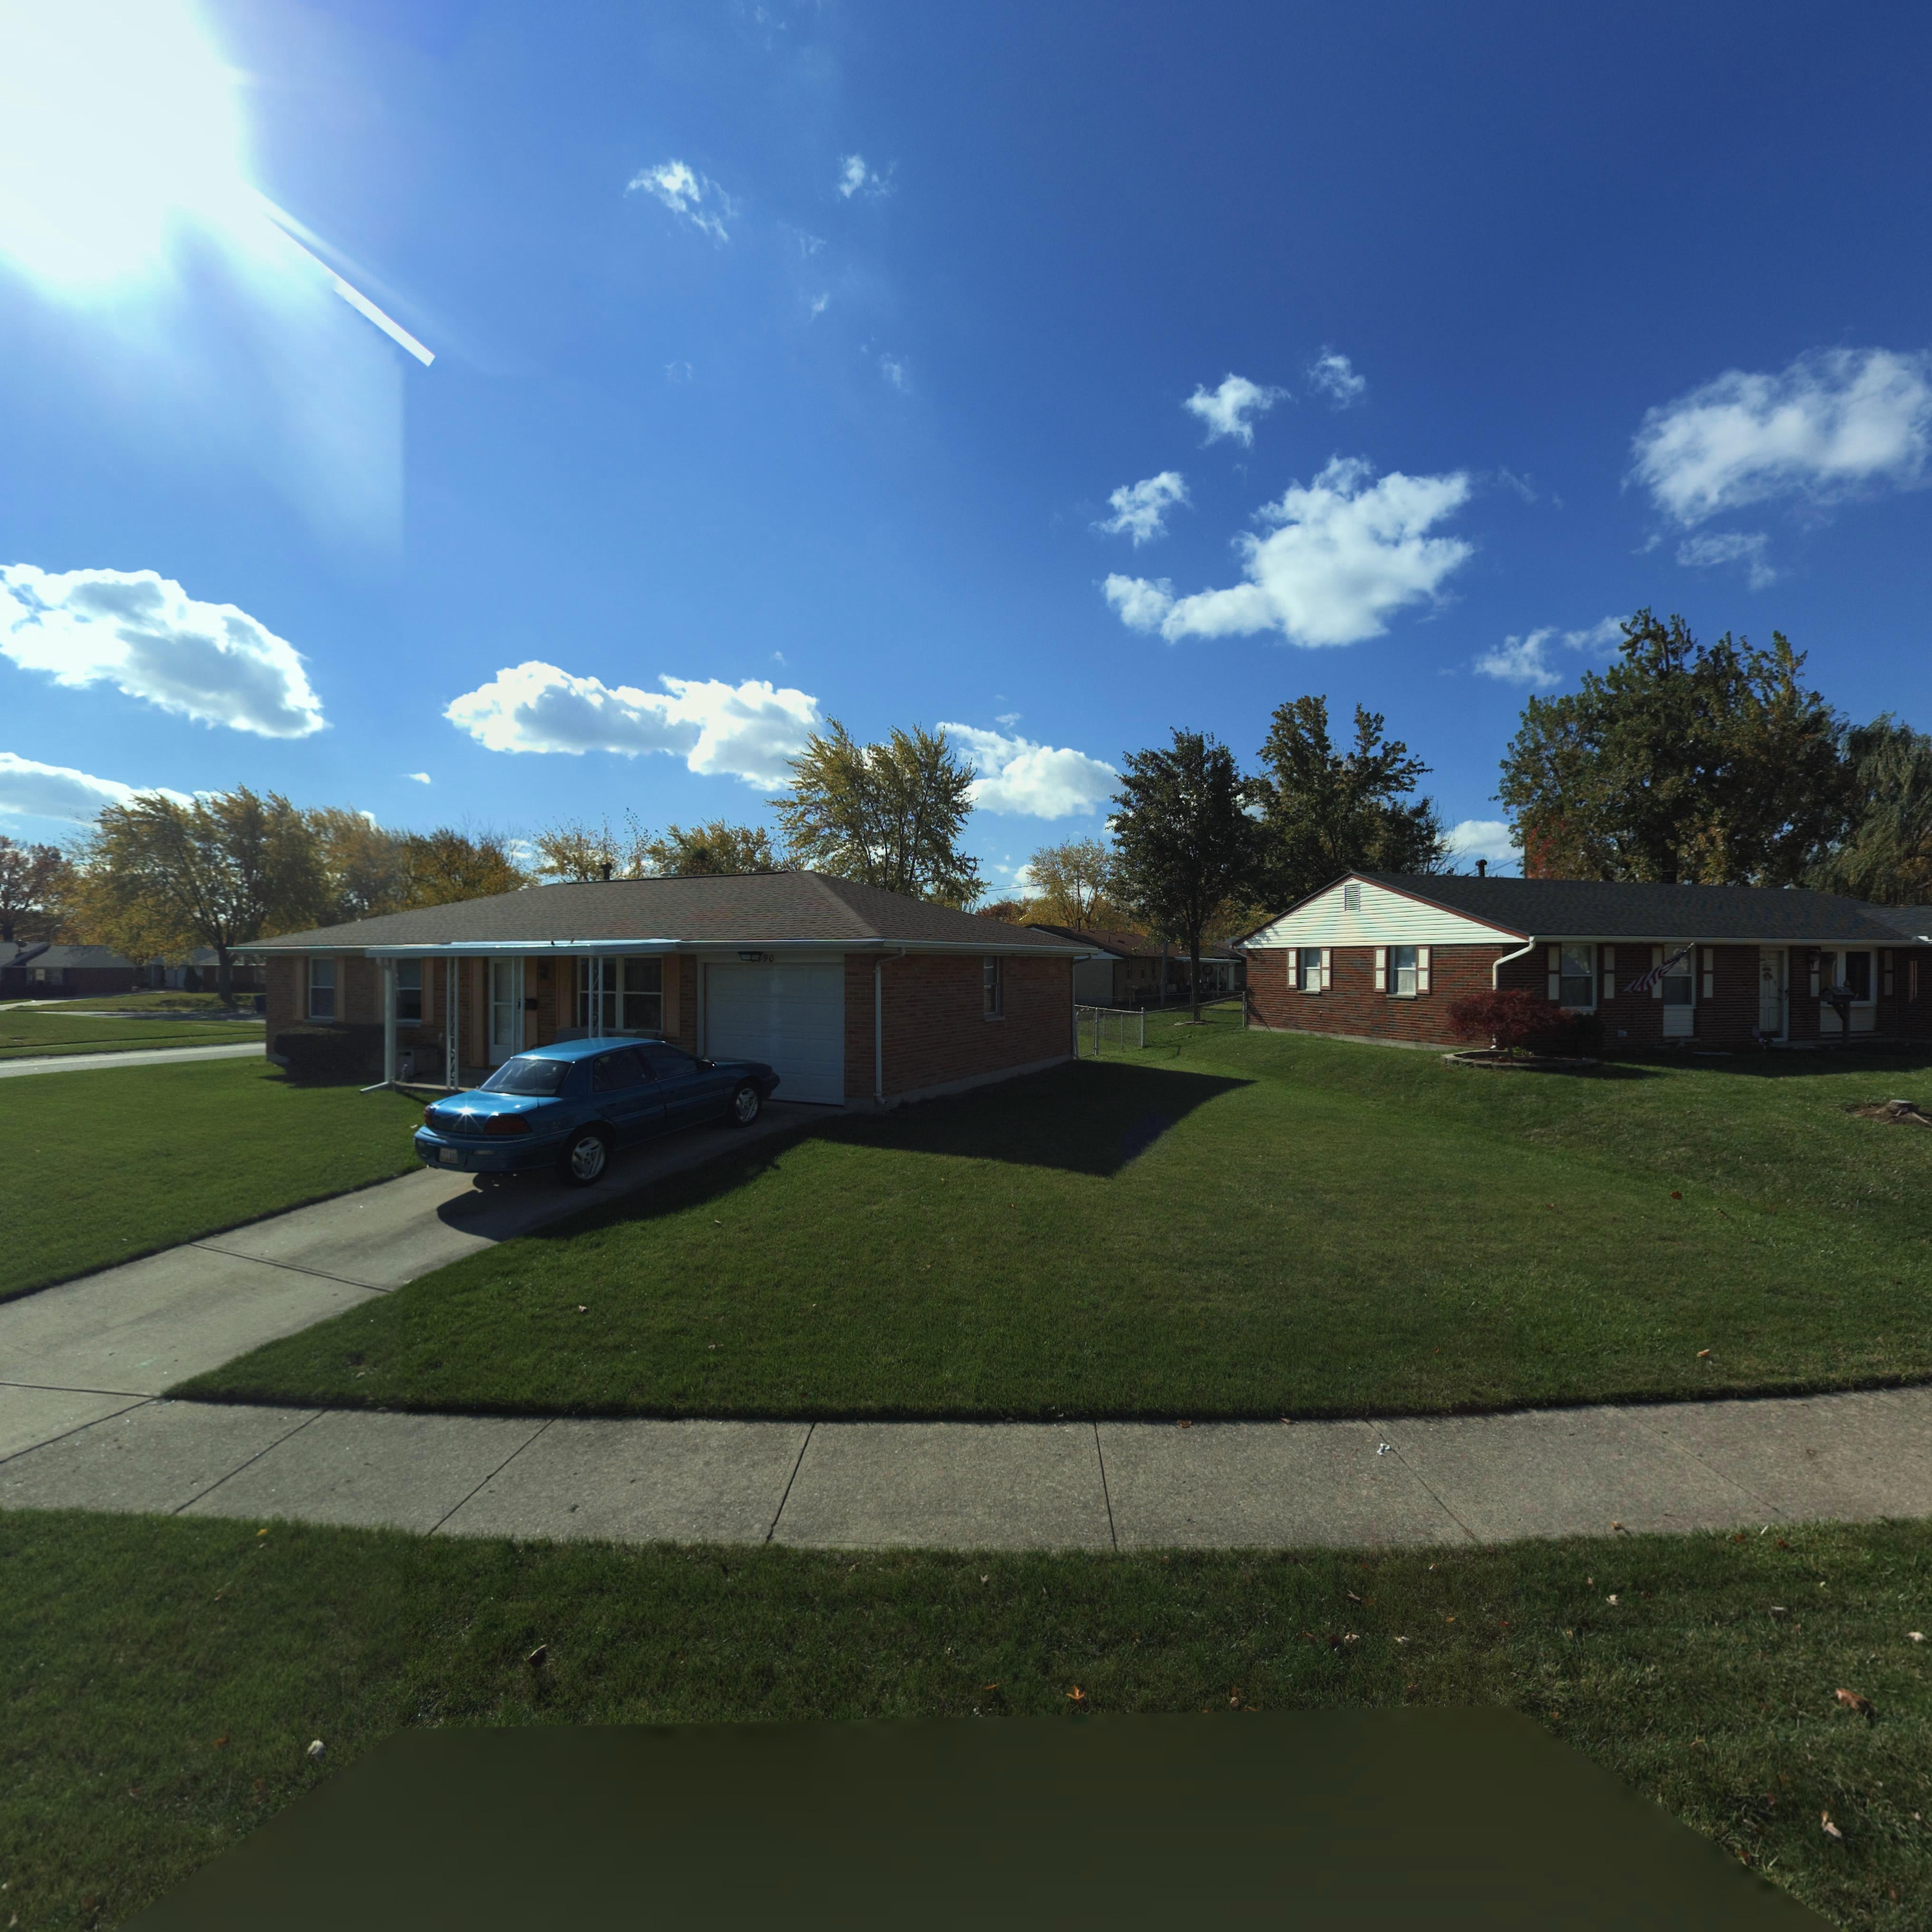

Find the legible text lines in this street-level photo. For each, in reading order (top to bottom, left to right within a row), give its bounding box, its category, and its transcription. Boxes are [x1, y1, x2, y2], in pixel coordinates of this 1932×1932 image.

[762, 954, 774, 963] StreetNumber: 90